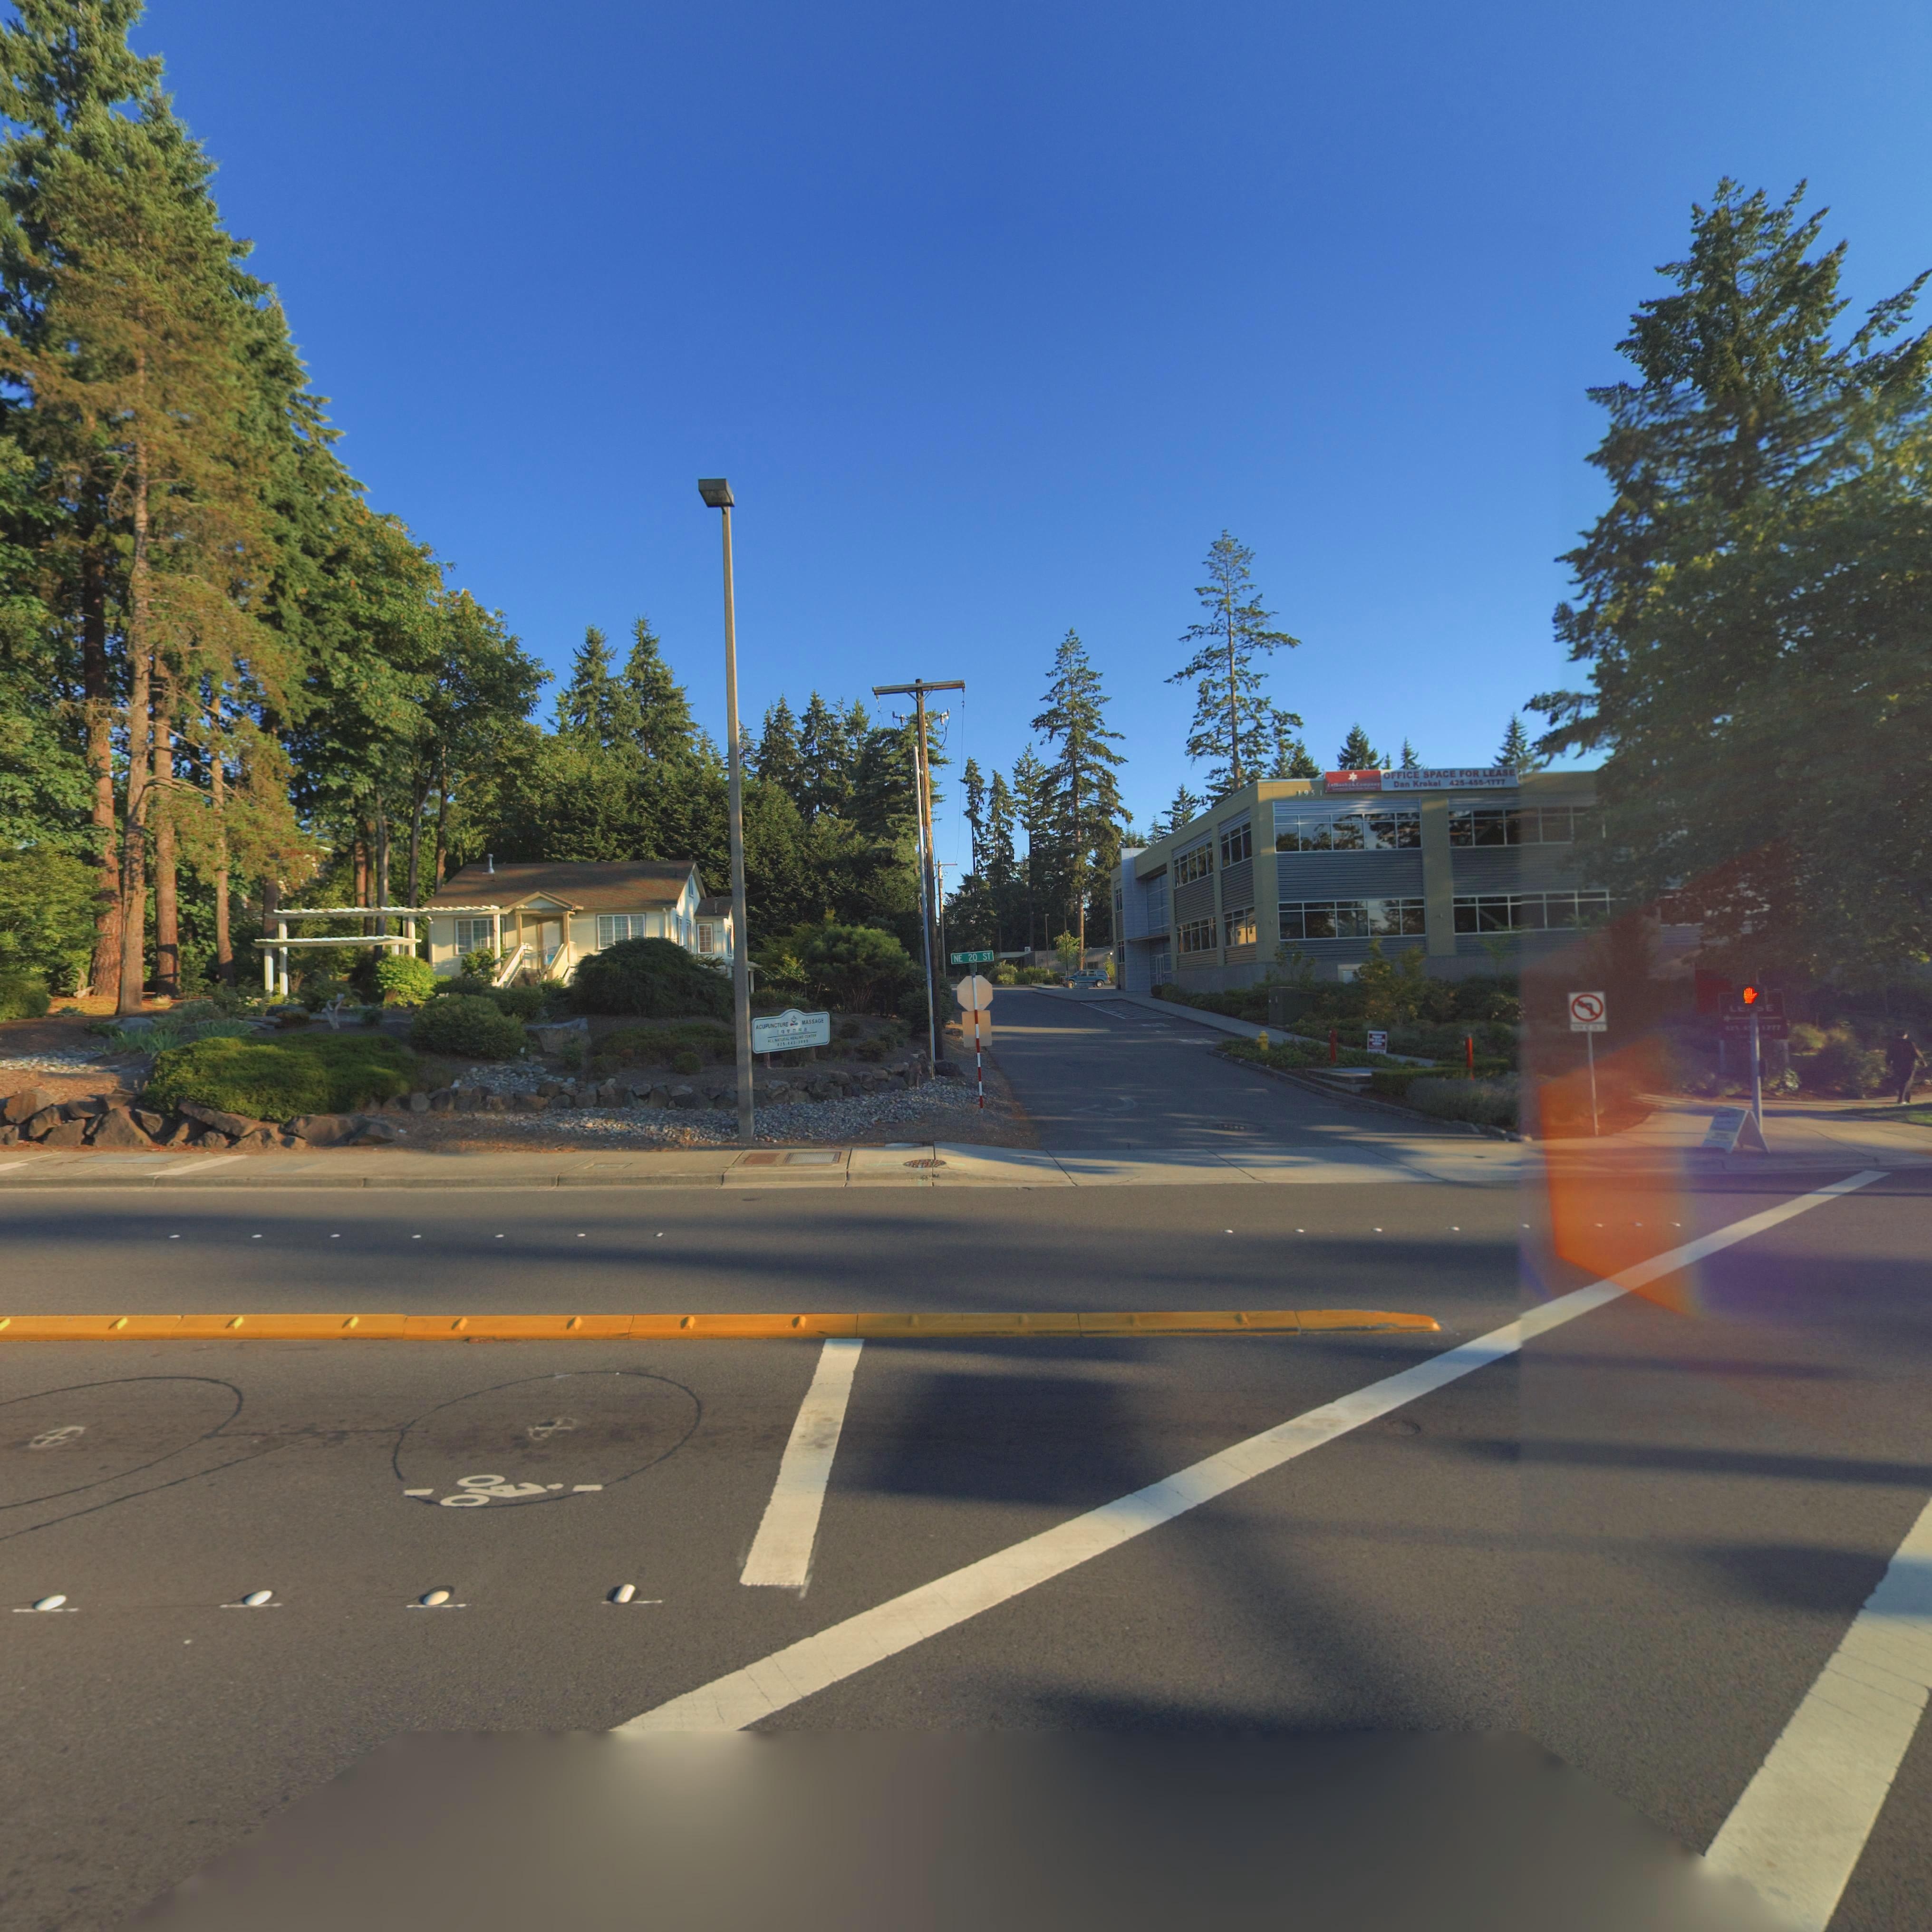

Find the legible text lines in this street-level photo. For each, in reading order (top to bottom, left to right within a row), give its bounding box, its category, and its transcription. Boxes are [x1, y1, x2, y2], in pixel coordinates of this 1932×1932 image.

[953, 952, 991, 963] StreetName: NE 20 ST